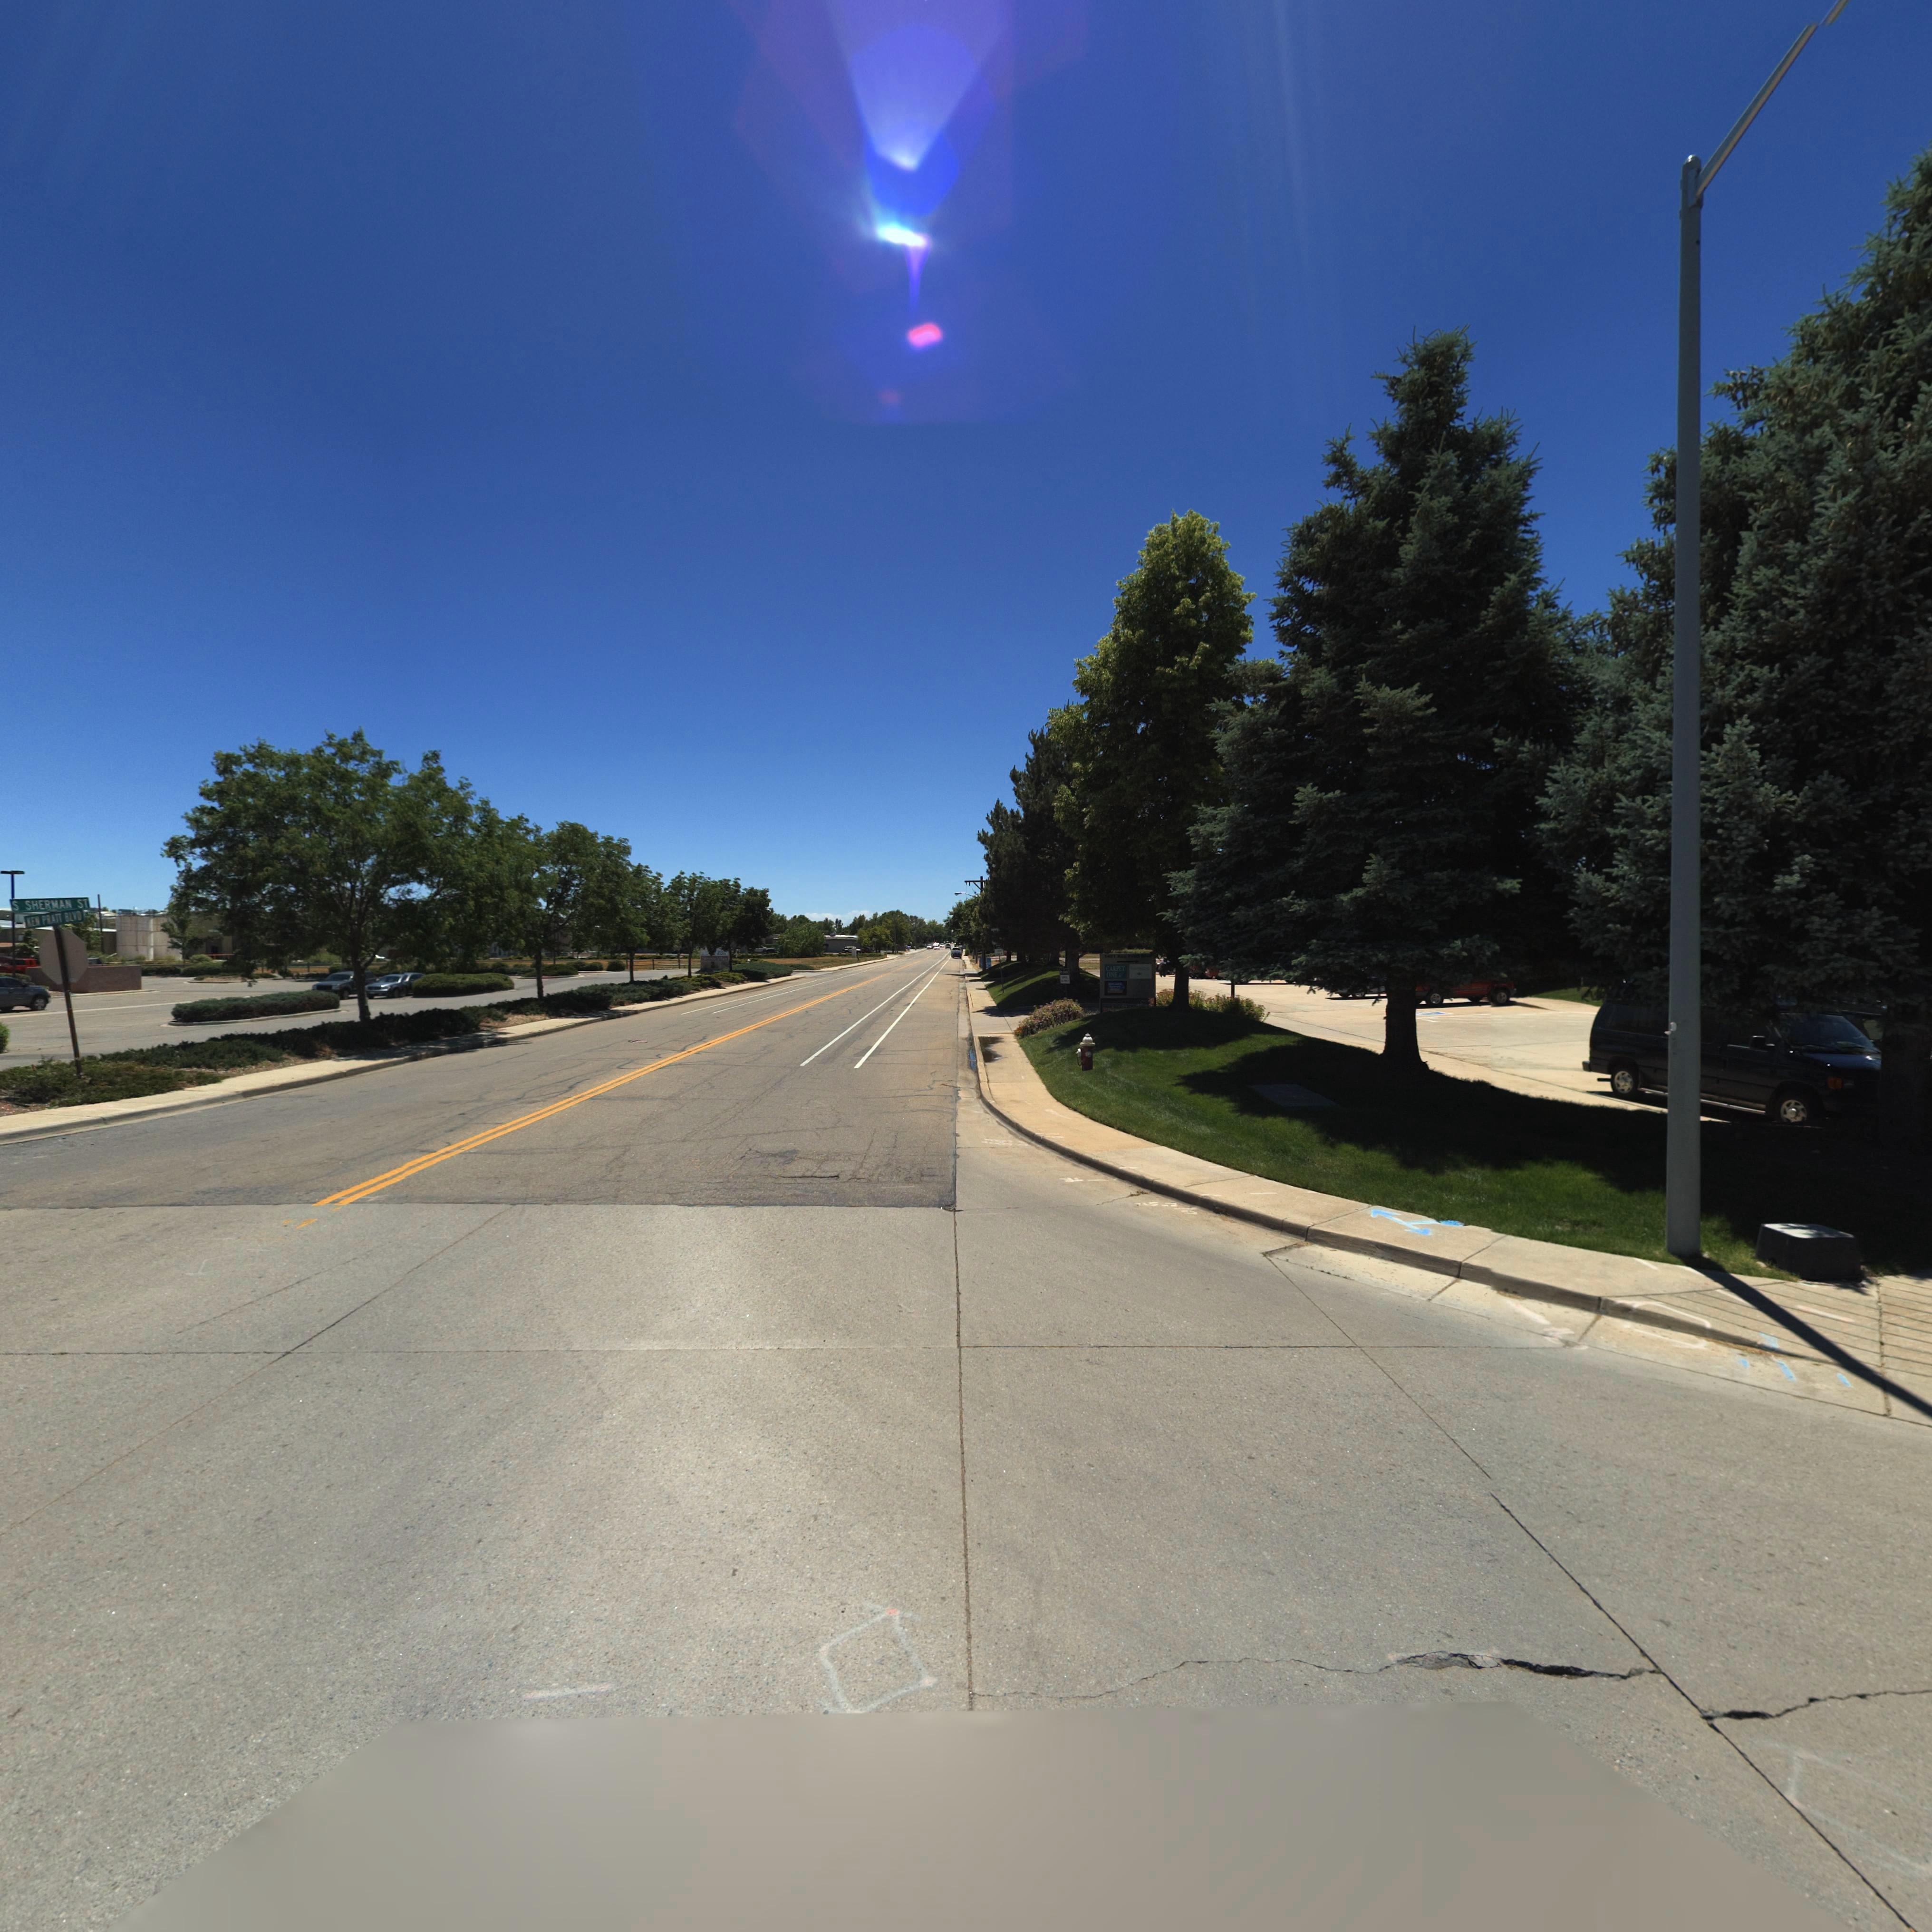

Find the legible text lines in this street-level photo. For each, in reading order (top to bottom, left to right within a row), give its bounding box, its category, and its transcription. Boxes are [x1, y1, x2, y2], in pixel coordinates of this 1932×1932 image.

[11, 898, 89, 911] StreetName: S SHERMAN ST
[25, 909, 83, 927] StreetName: KEN PRATT BLVD
[1105, 972, 1118, 978] BusinessName: ONE
[1106, 966, 1126, 972] BusinessName: CARPET